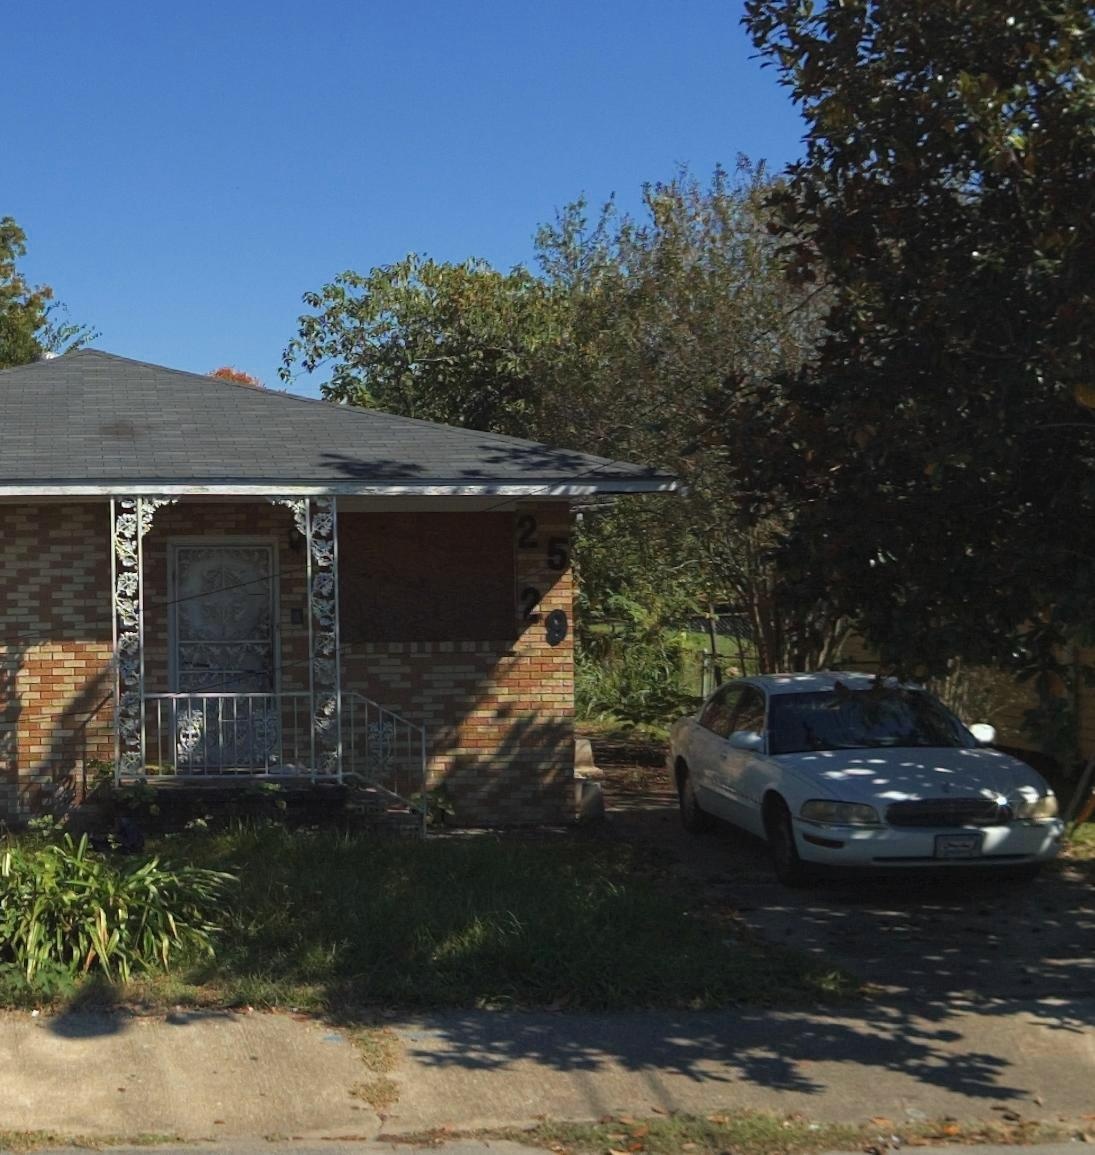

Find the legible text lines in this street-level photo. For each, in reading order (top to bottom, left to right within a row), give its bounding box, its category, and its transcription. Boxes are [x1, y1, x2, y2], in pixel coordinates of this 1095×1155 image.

[515, 512, 572, 574] StreetNumber: 25
[519, 584, 569, 648] StreetNumber: 29